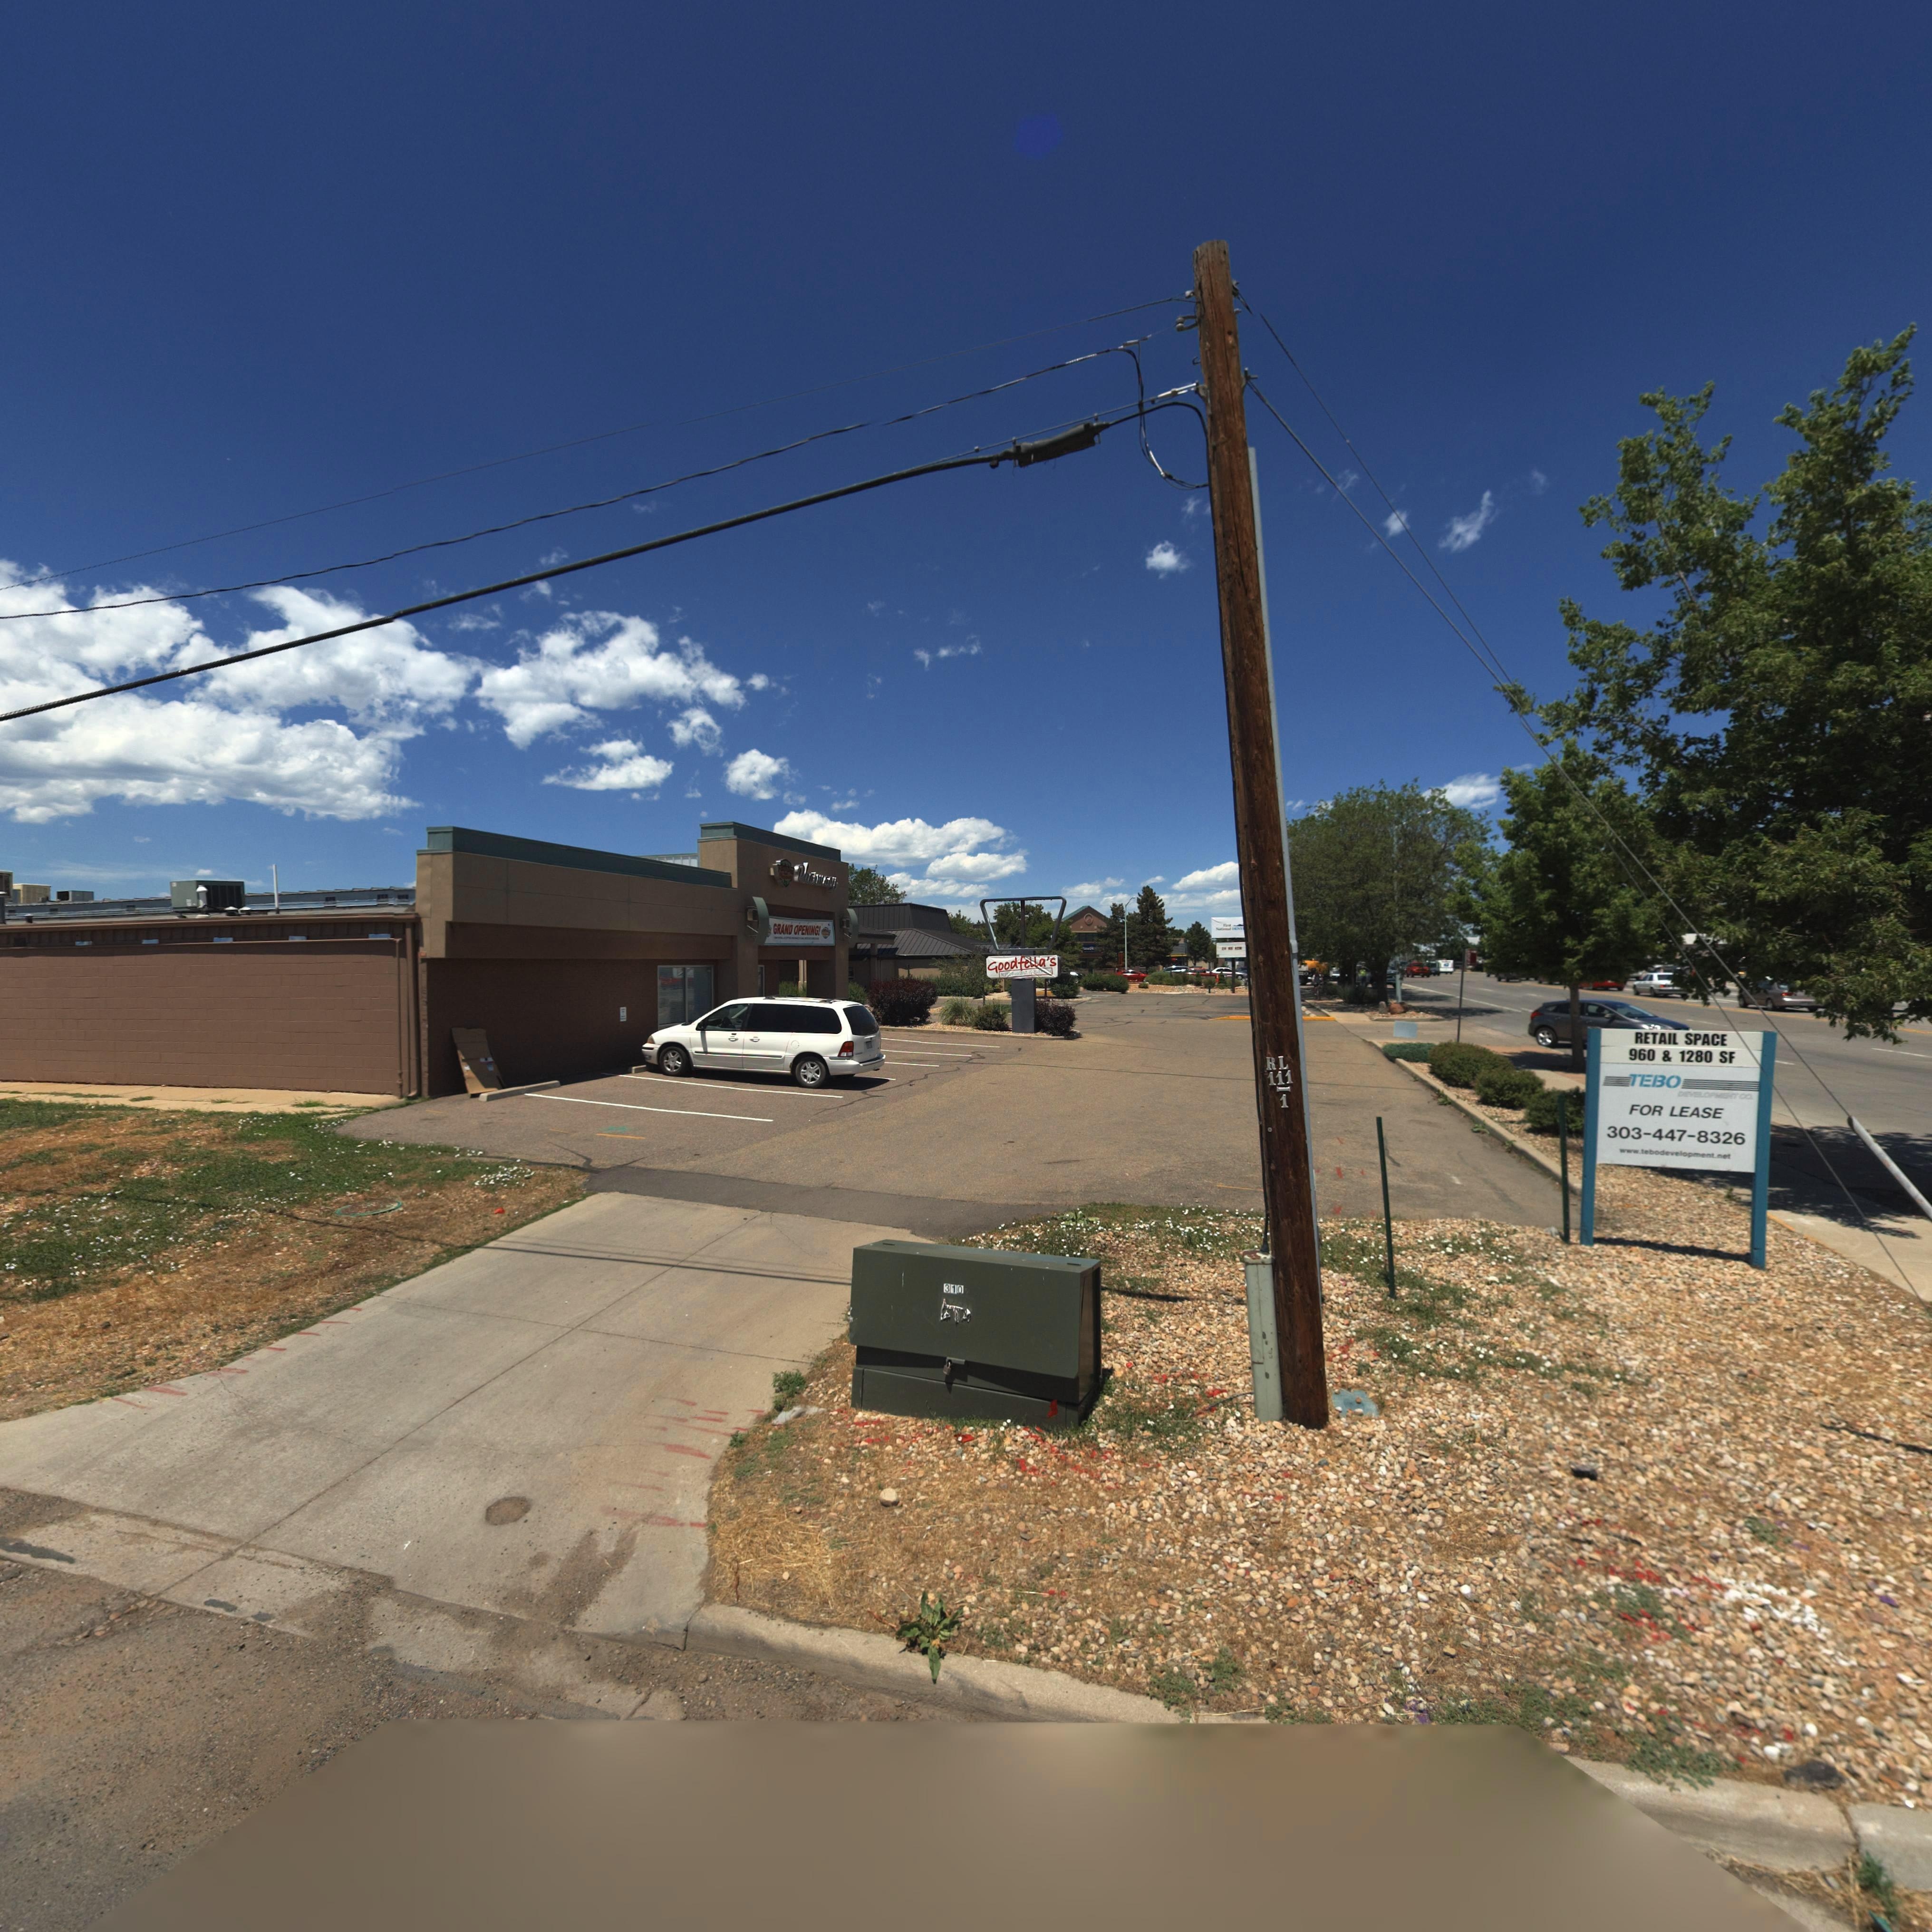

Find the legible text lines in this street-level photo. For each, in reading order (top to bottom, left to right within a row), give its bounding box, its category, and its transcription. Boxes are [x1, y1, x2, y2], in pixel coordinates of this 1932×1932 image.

[796, 862, 838, 893] BusinessName: Pharmacy
[987, 956, 1057, 974] BusinessName: Goodfellas